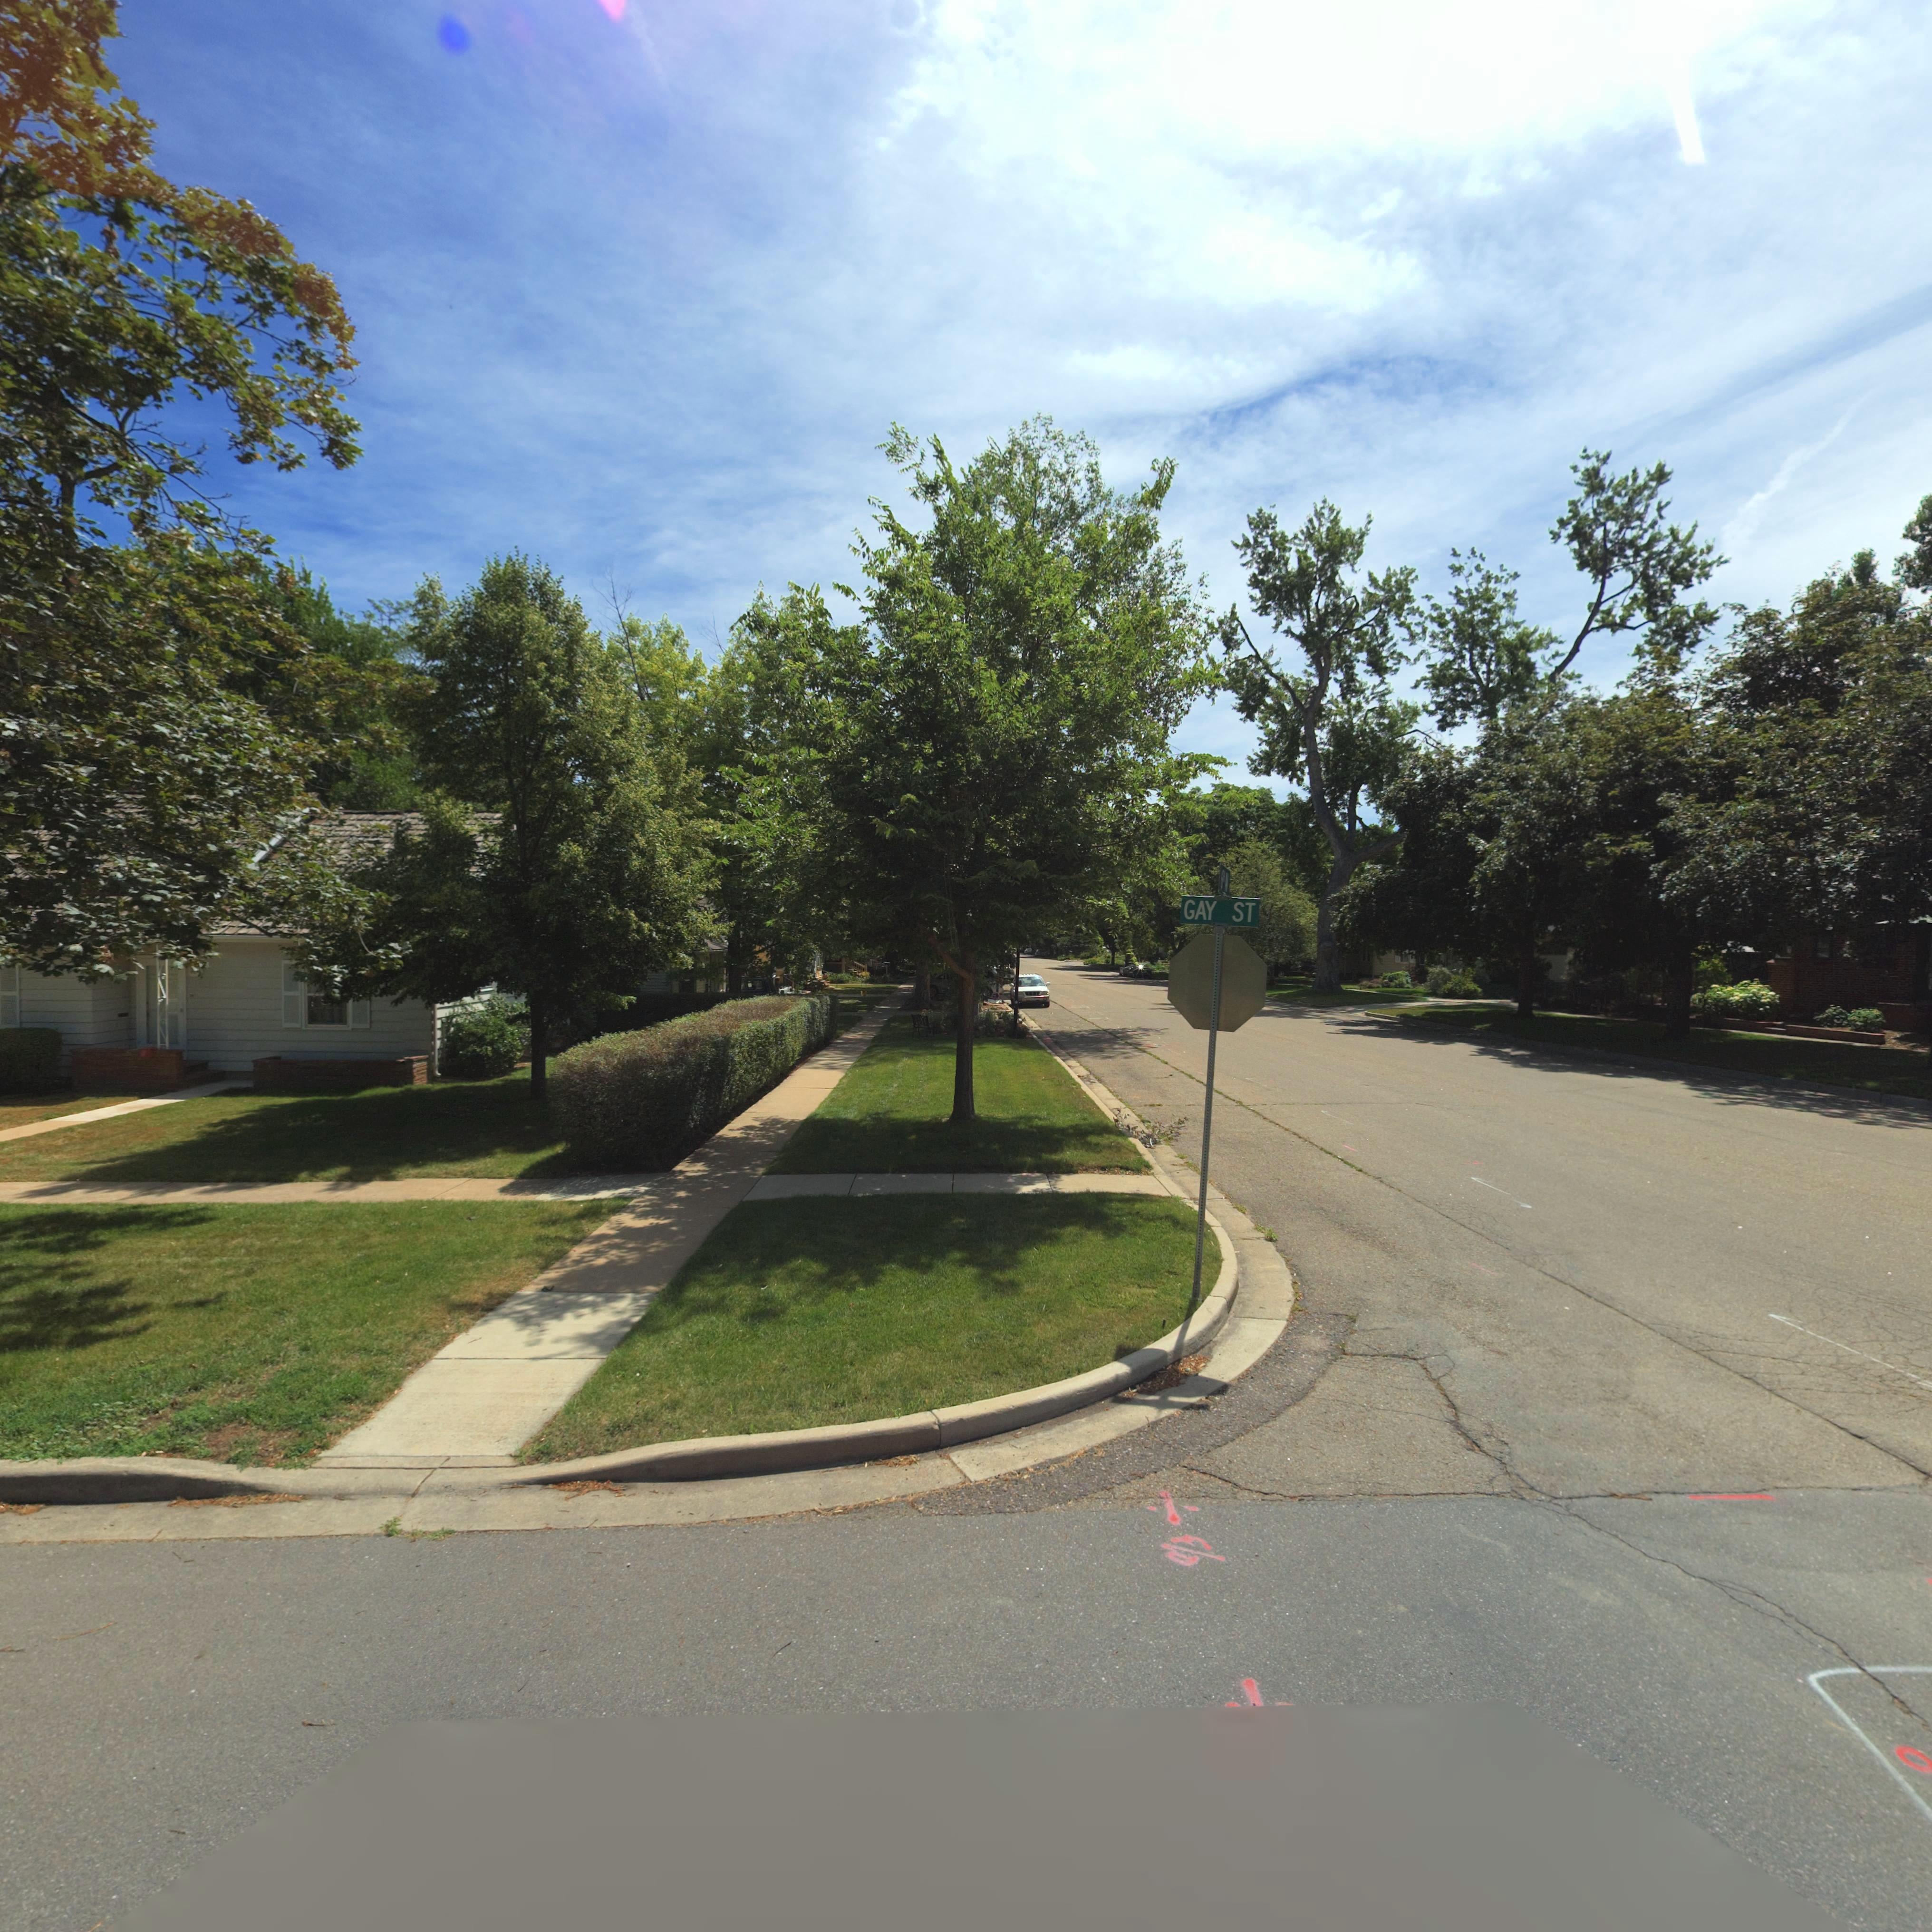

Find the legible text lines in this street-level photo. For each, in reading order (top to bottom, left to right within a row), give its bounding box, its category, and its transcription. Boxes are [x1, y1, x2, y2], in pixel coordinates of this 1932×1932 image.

[1183, 899, 1256, 922] StreetName: GAY ST